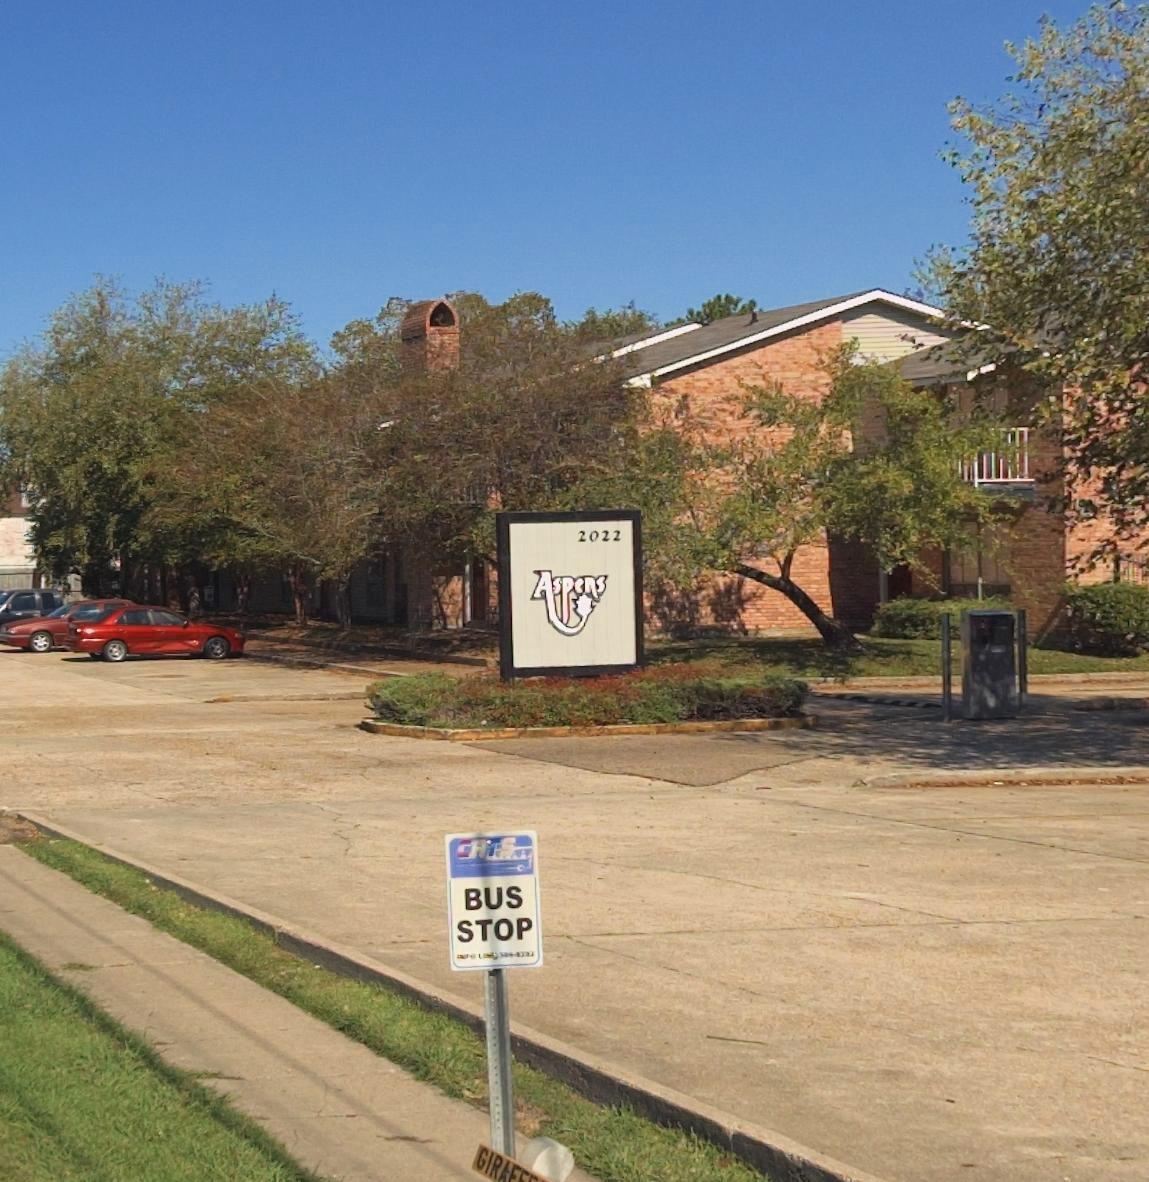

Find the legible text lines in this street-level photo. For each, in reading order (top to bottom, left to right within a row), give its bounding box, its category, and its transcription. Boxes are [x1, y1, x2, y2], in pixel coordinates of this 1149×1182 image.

[575, 527, 624, 545] StreetNumber: 2022
[527, 568, 610, 602] BusinessName: Aspens
[460, 881, 527, 915] None: BUS
[454, 914, 537, 946] None: STOP
[474, 1145, 505, 1181] None: GIR